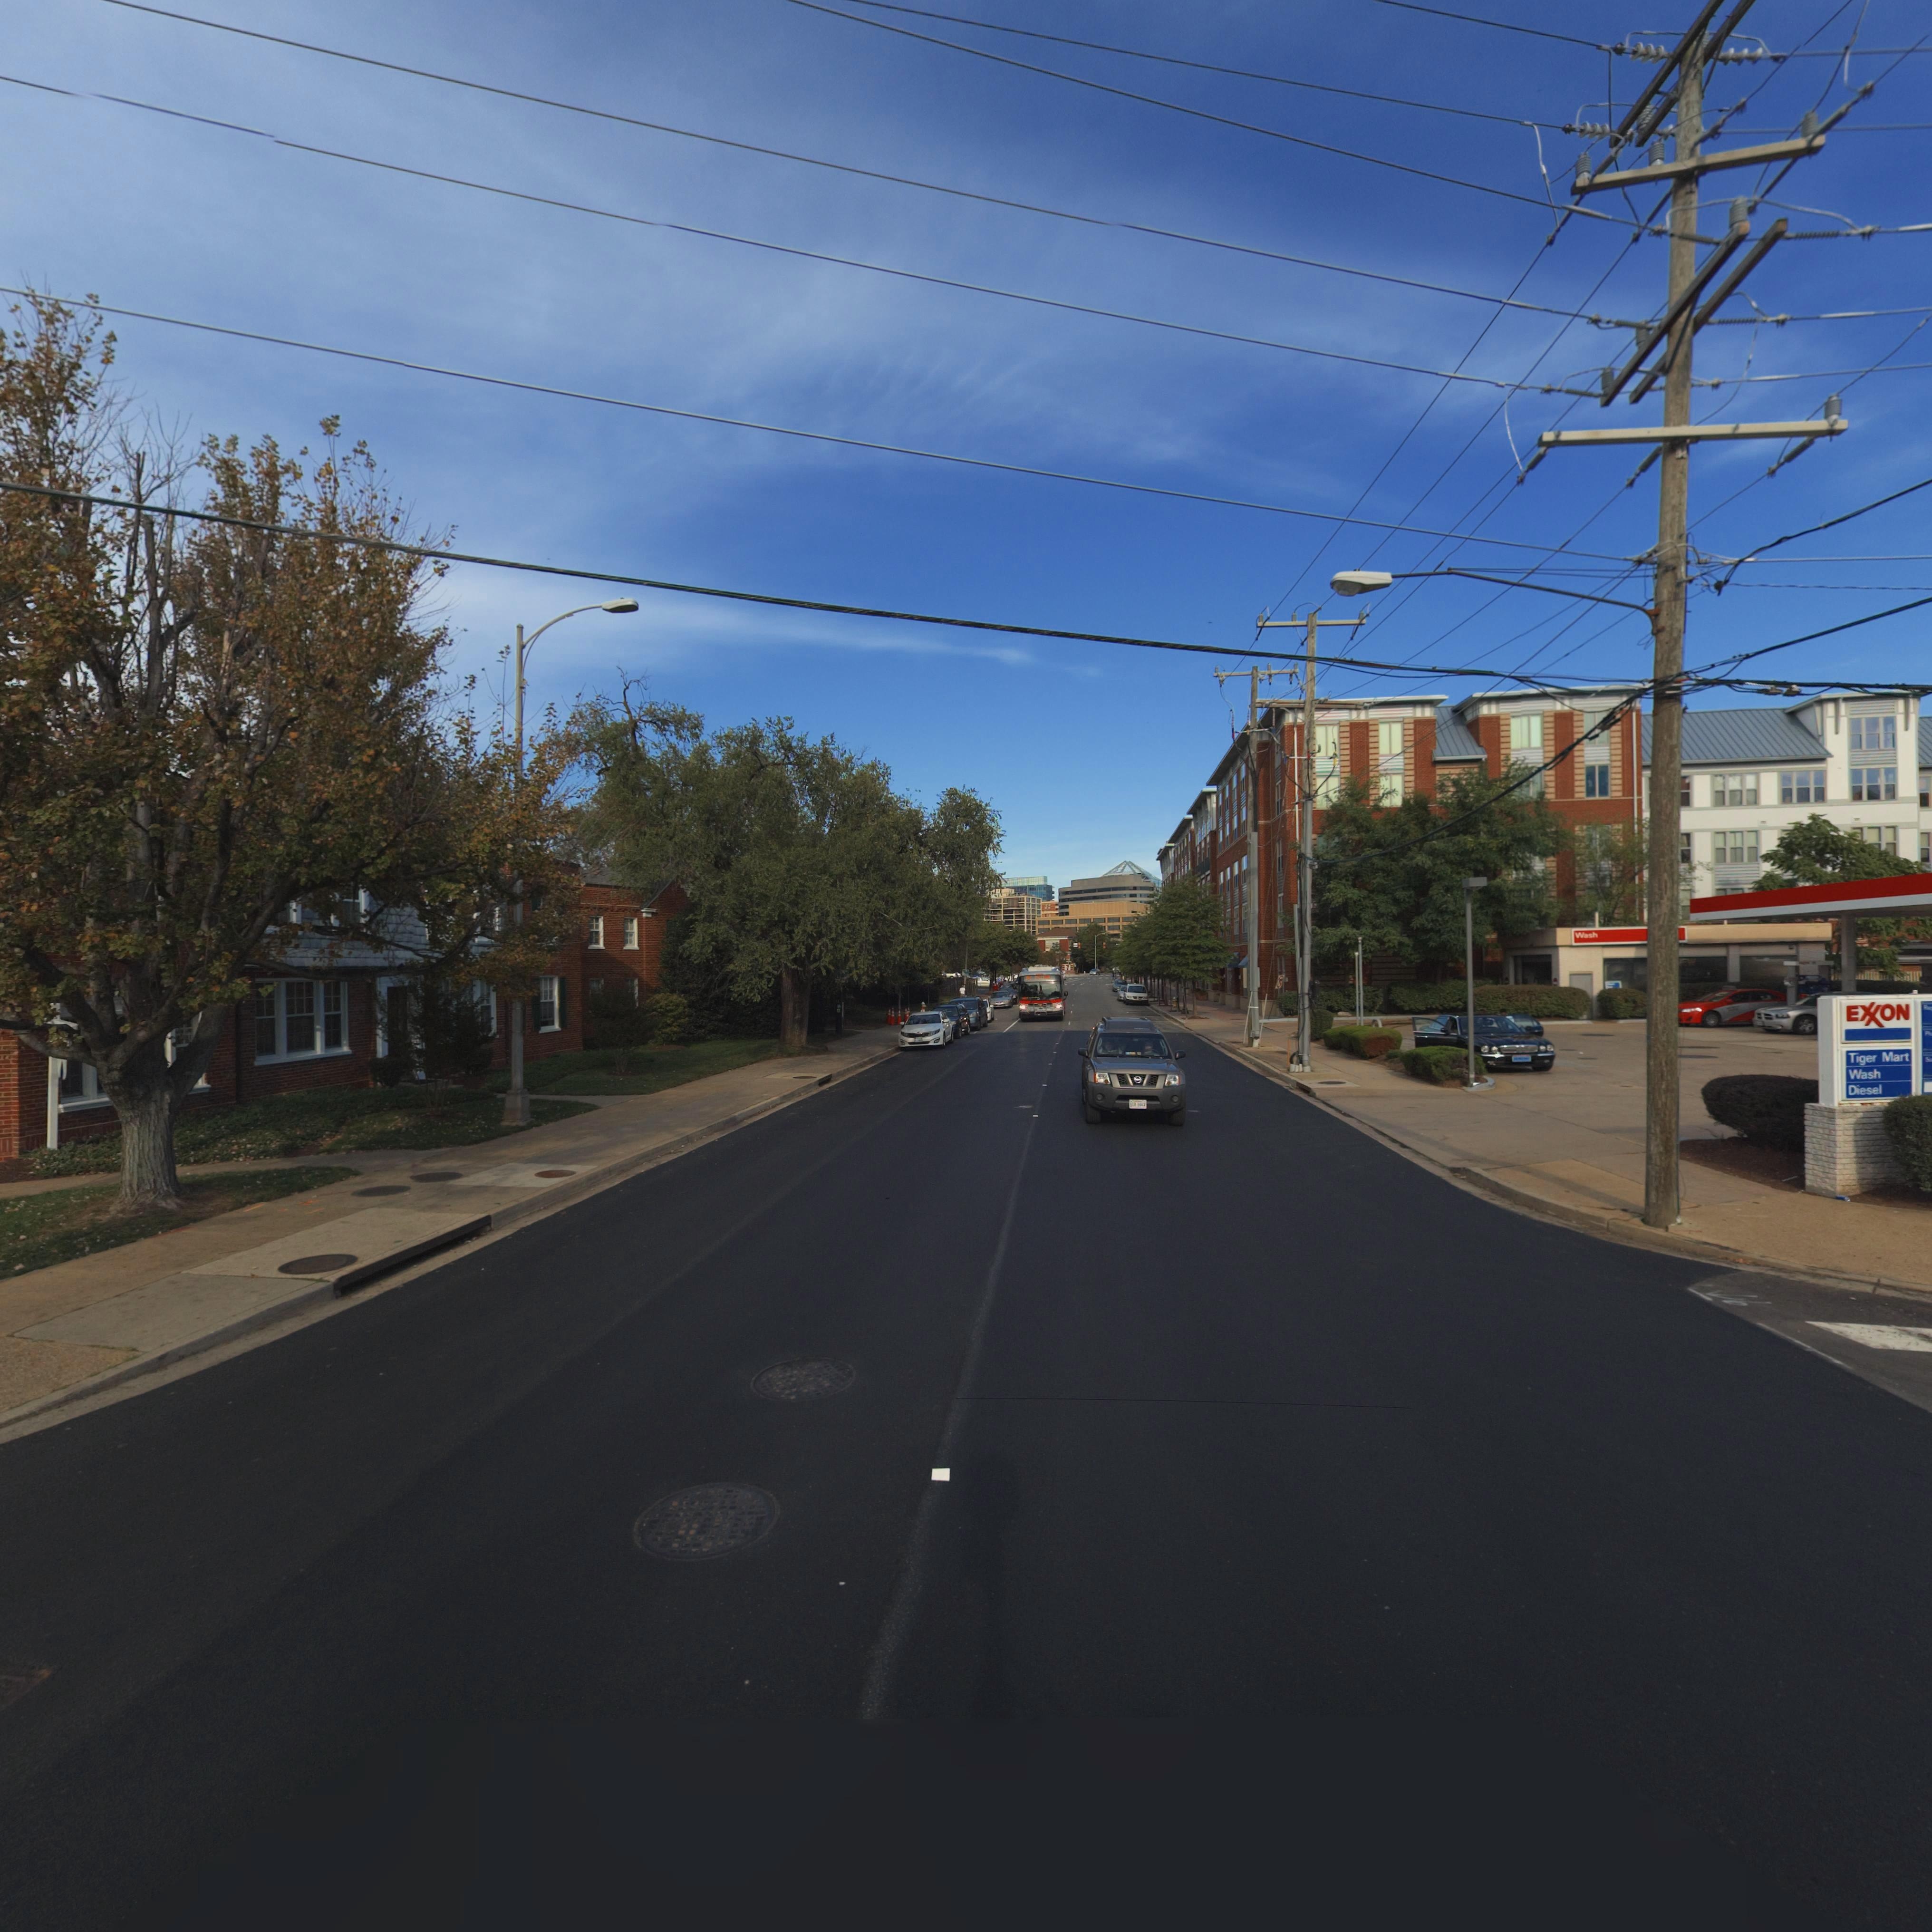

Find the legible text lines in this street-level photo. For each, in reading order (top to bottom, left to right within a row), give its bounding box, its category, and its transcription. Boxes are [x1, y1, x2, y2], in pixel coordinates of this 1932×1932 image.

[1574, 931, 1599, 939] None: Wash
[1846, 1002, 1910, 1028] BusinessName: E*ON
[1847, 1051, 1910, 1066] None: Tiger Mart
[1847, 1068, 1882, 1080] None: Wash
[1848, 1083, 1883, 1096] None: Diesel